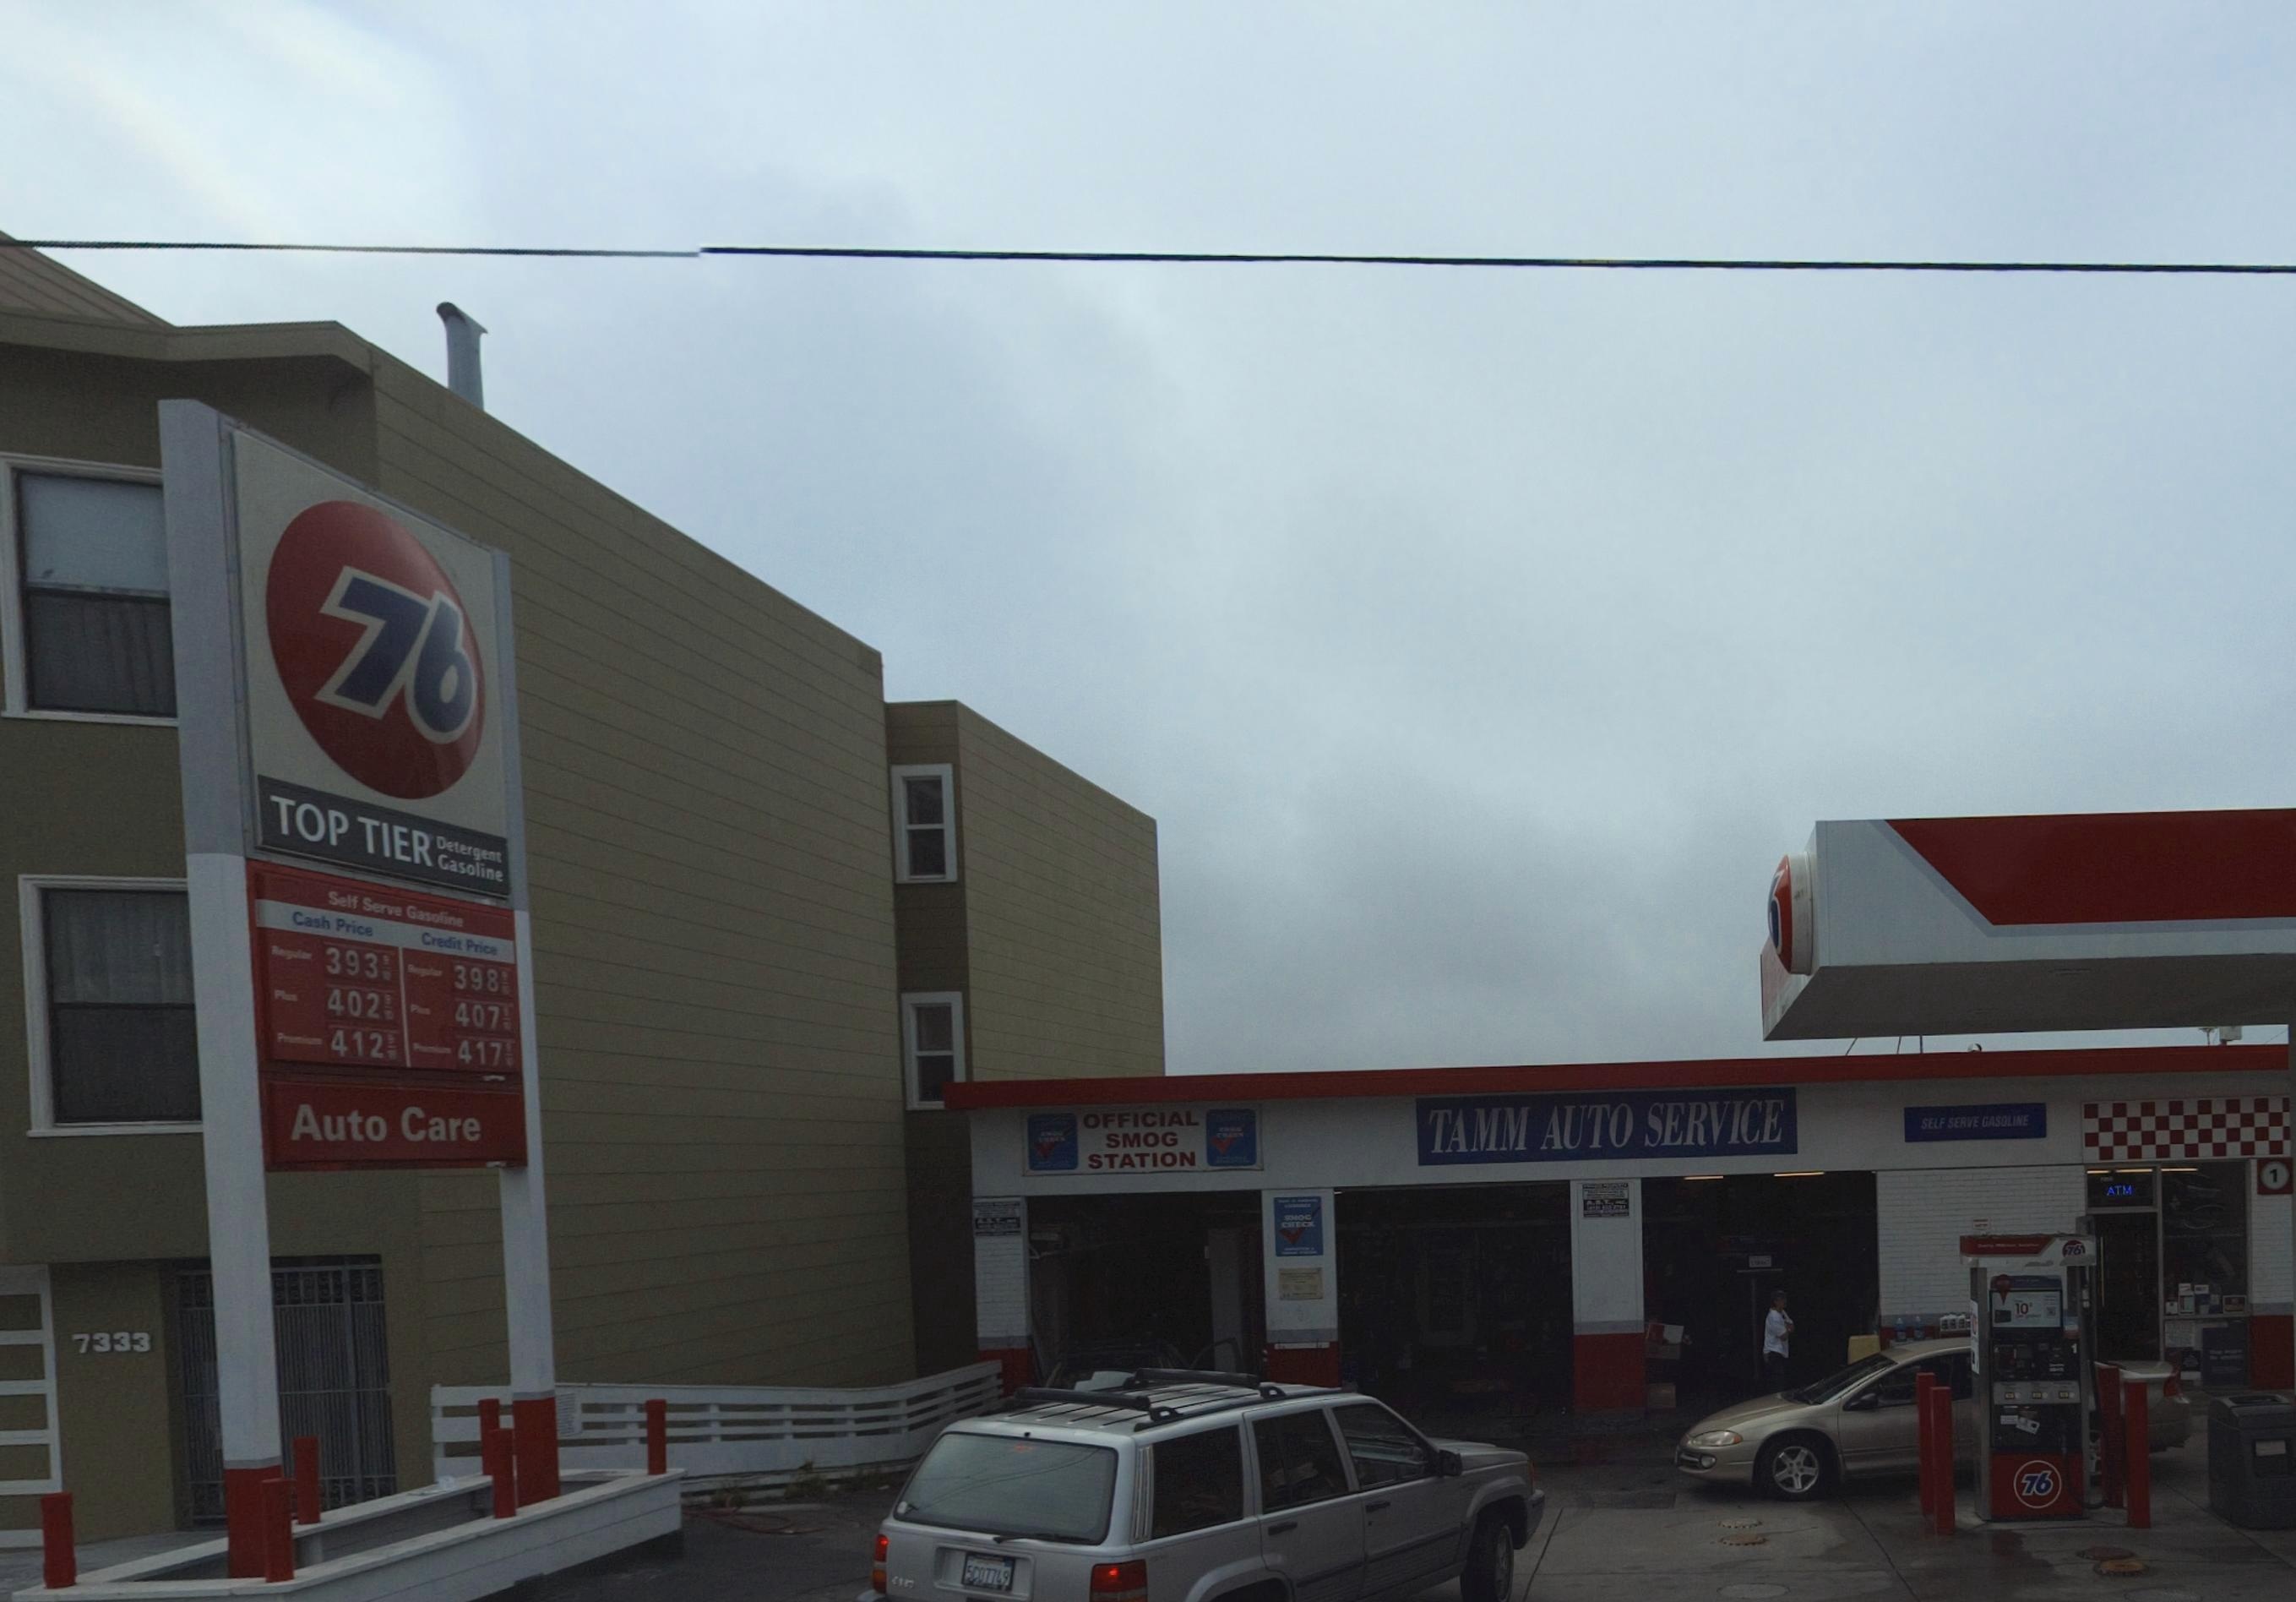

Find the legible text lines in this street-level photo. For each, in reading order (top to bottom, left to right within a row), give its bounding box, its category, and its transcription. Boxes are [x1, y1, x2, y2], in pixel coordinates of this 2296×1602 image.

[331, 570, 478, 744] BusinessName: 76
[262, 786, 435, 875] None: TOP TIER
[433, 831, 505, 868] None: Detergent
[435, 850, 507, 886] None: Gasoline
[288, 907, 377, 940] None: Cash Price
[324, 886, 467, 931] None: Self Serve Gasoline
[419, 928, 503, 960] None: Credit Price
[322, 945, 394, 985] None: 393 9/10
[452, 962, 512, 1001] None: 39809/10
[323, 986, 400, 1024] None: 402 9/10
[449, 999, 514, 1036] None: 407 9/10
[323, 1027, 400, 1065] None: 412 9/10
[446, 1037, 517, 1074] None: 417 9/10
[282, 1098, 485, 1146] None: Auto Care
[1079, 1106, 1206, 1131] None: OFFICIAL
[1103, 1125, 1183, 1150] None: SMOG
[1424, 1097, 1785, 1156] BusinessName: TAMM AUTO SERVICE
[1919, 1112, 2031, 1131] None: SELF SERVE GASOLINE
[1083, 1147, 1199, 1174] None: STATION
[2101, 1182, 2135, 1197] StreetNumber: ATM
[2267, 1166, 2279, 1185] None: 1
[1281, 1213, 1313, 1222] None: SMOG
[1280, 1221, 1316, 1229] None: CHECK
[2063, 1242, 2082, 1258] BusinessName: 76
[2011, 1300, 2030, 1316] None: 10
[63, 1330, 155, 1356] StreetNumber: 7333
[2022, 1468, 2054, 1497] BusinessName: 76
[960, 1561, 1012, 1592] None: 5C07749